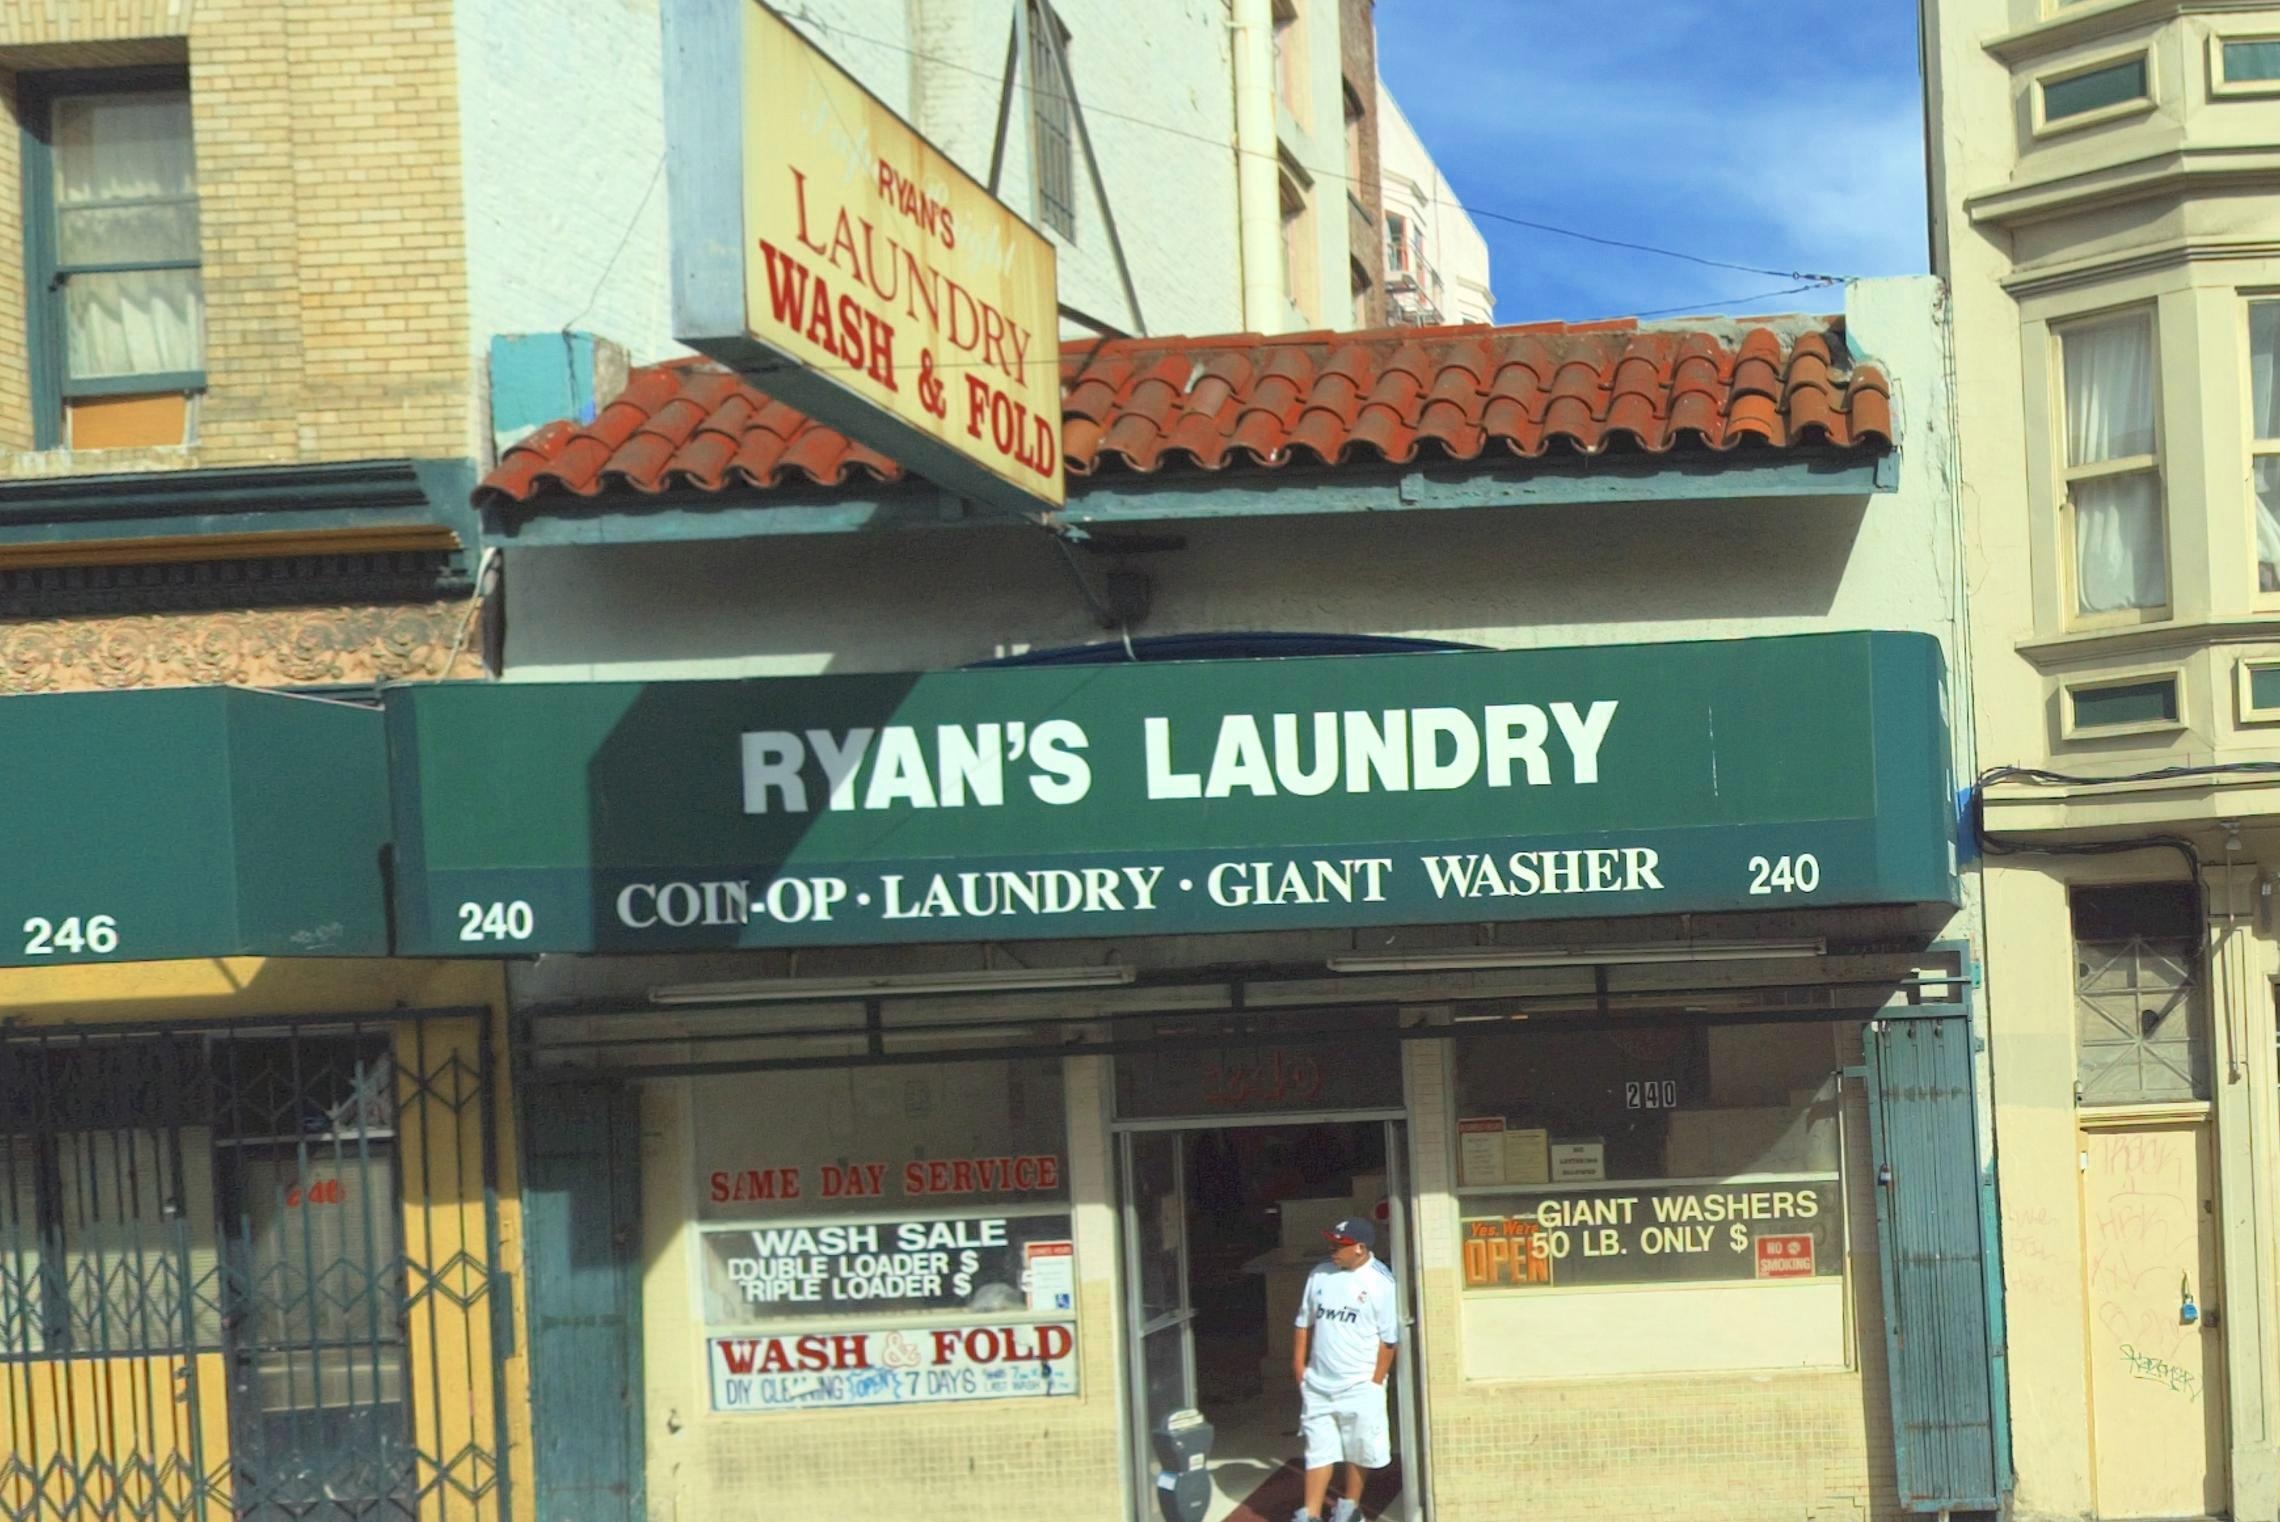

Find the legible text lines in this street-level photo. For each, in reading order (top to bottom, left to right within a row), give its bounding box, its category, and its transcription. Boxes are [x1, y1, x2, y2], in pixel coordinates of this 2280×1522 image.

[875, 152, 958, 252] BusinessName: RYAN'S
[783, 151, 1036, 397] BusinessName: LAUNDRY
[754, 230, 1058, 486] None: WASH & FOLD
[735, 695, 1626, 819] BusinessName: RYAN'S LAUNDRY
[611, 840, 1673, 936] None: COI*-OP * LAUNDRY * GIANT WASHER
[1745, 849, 1823, 898] StreetNumber: 240
[19, 910, 122, 958] StreetNumber: 246
[454, 897, 537, 945] StreetNumber: 240
[1623, 1079, 1678, 1111] StreetNumber: 240
[303, 1176, 329, 1208] StreetNumber: 4
[724, 1248, 953, 1284] None: **UBLE LOADER
[744, 1273, 946, 1306] None: RIPLE LOADER
[746, 1215, 1012, 1260] None: WASH SALE
[708, 1149, 1063, 1206] None: S*ME DAY SERVICE
[1017, 1267, 1040, 1297] None: 5
[1462, 1235, 1529, 1287] None: OPE
[1465, 1217, 1533, 1239] None: Yes. We'r
[1547, 1221, 1719, 1261] None: 0 LB. ONLY
[1534, 1187, 1820, 1230] None: GIANT WASHERS
[1763, 1238, 1786, 1257] None: NO
[1758, 1254, 1813, 1275] None: SMOKING
[2002, 1263, 2033, 1297] None: H
[2005, 1199, 2056, 1235] None: we
[2007, 1230, 2071, 1274] None: STILL
[2085, 1244, 2160, 1302] None: XXL
[2091, 1199, 2172, 1259] None: HBK
[2107, 1132, 2185, 1189] None: Pack
[1324, 1303, 1361, 1327] None: win
[711, 1321, 1075, 1378] None: *ASH & FOLD
[722, 1364, 981, 1410] None: D** CL****NG OPEN 7 DAYS
[1007, 1364, 1022, 1383] None: 7
[2180, 1365, 2198, 1401] None: R